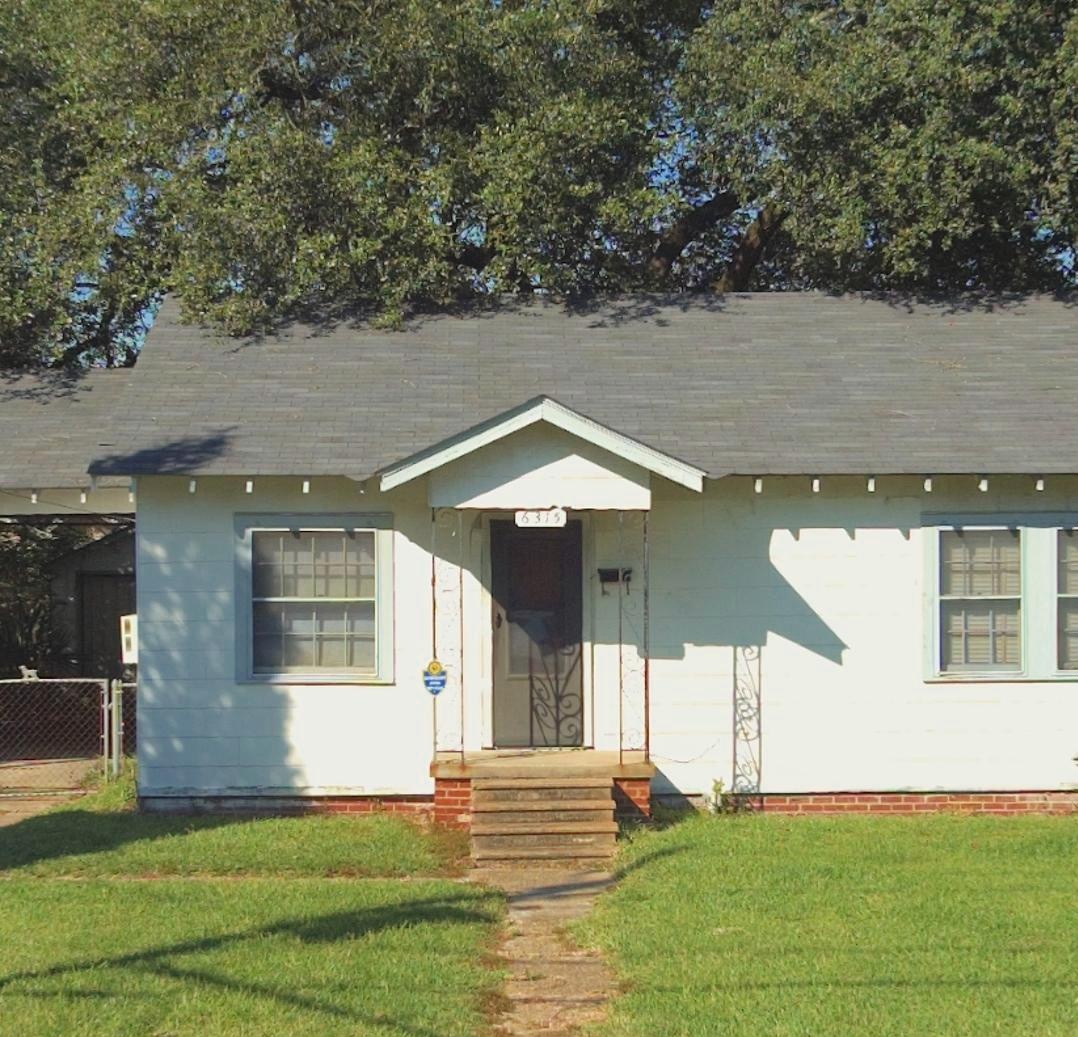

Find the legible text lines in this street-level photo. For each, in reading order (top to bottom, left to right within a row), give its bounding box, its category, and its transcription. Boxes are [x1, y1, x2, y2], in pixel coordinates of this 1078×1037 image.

[520, 511, 562, 524] StreetNumber: 6315